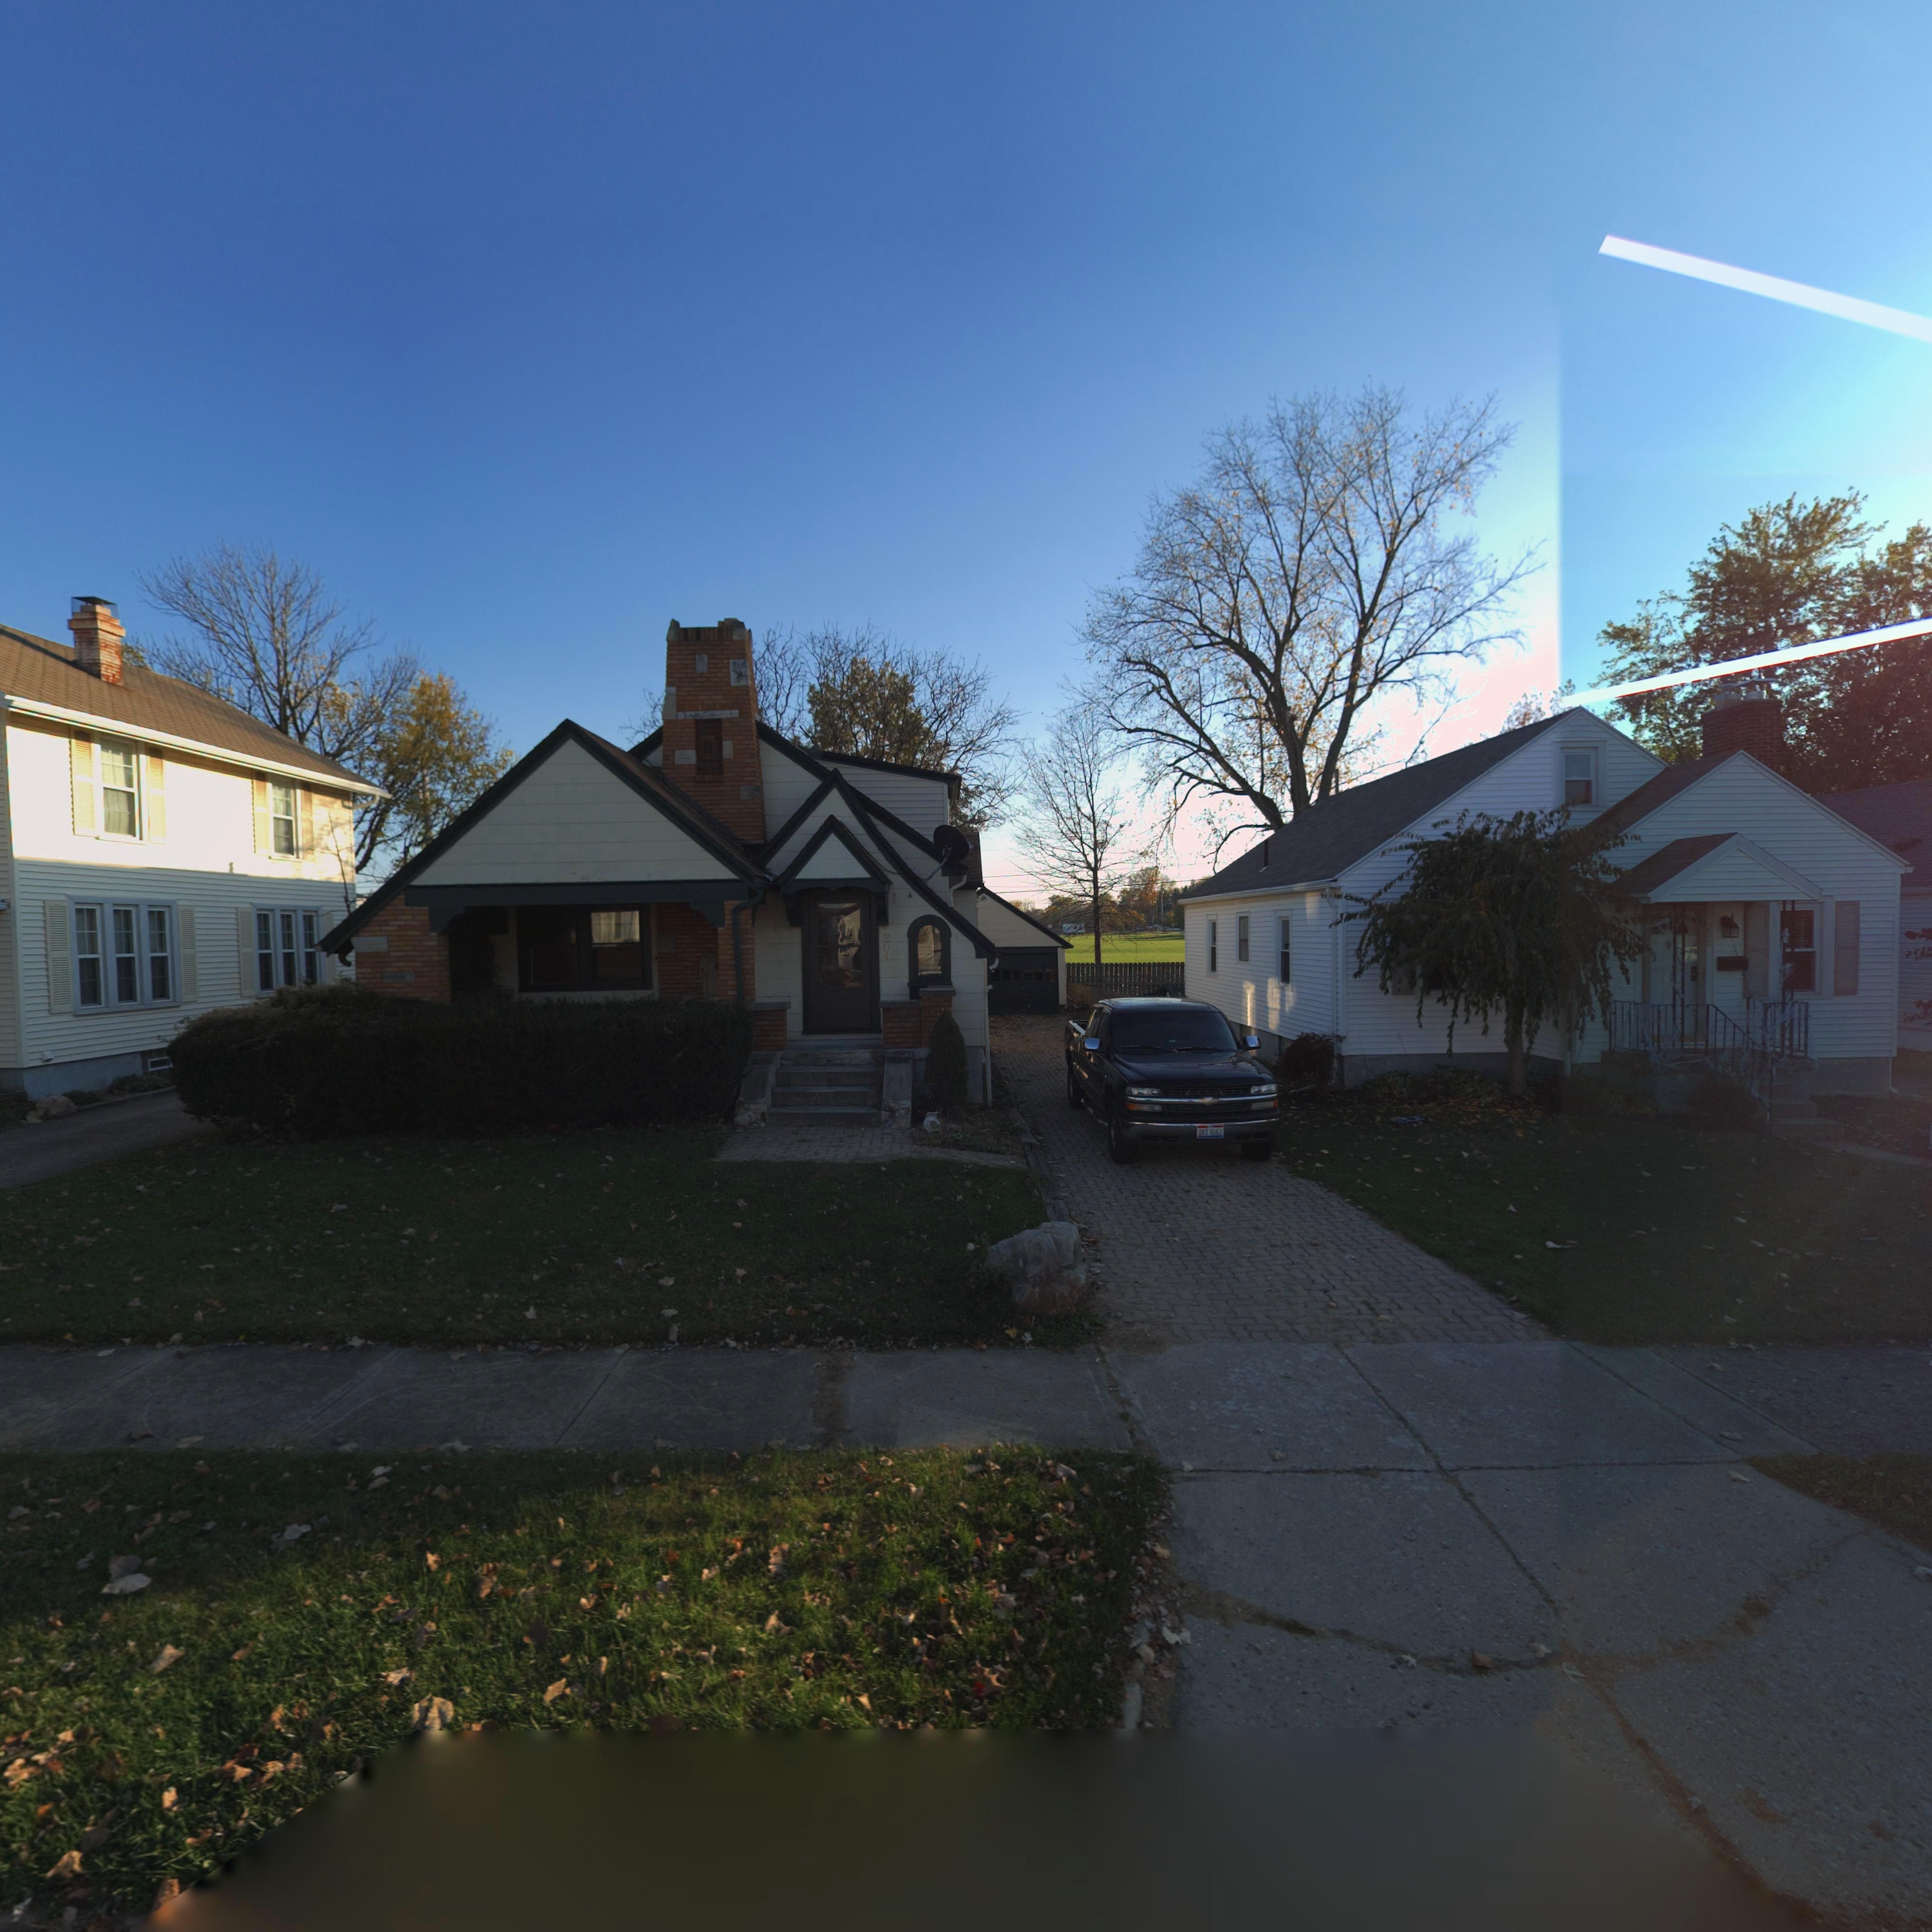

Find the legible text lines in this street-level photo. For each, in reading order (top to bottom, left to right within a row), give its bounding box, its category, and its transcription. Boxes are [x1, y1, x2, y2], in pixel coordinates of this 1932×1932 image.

[883, 932, 890, 961] StreetNumber: 204
[1706, 923, 1713, 947] StreetNumber: 200